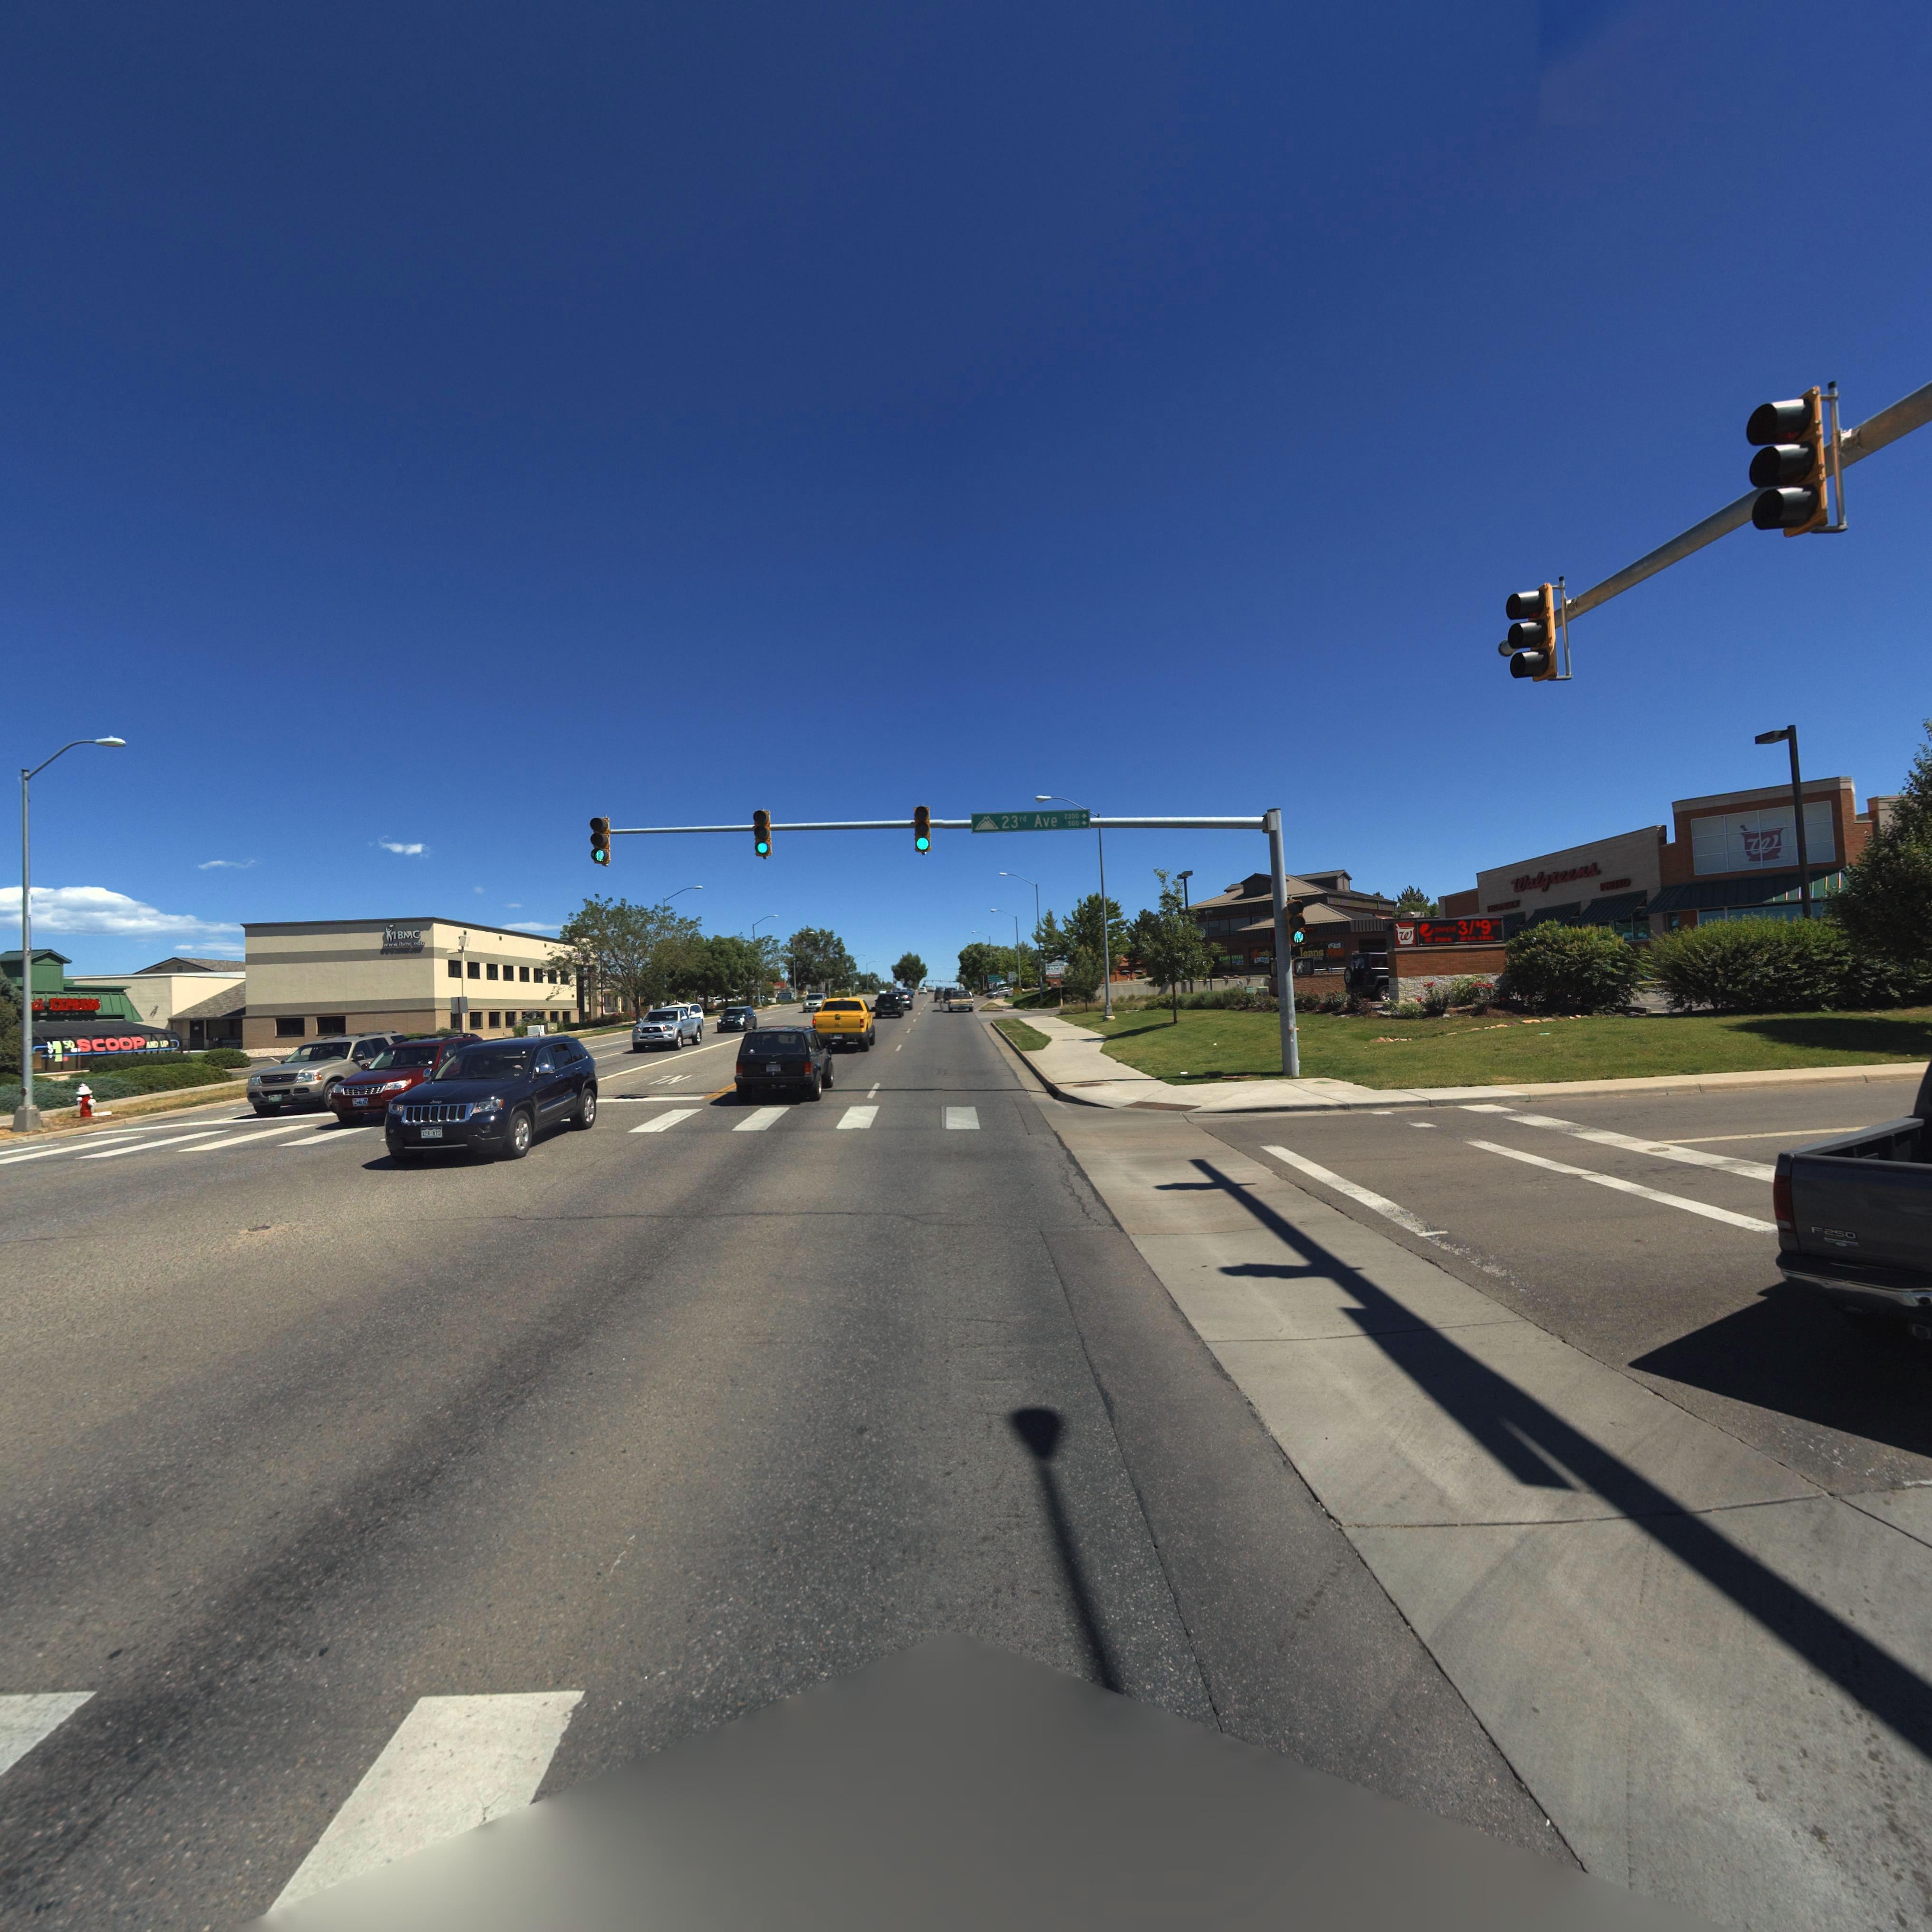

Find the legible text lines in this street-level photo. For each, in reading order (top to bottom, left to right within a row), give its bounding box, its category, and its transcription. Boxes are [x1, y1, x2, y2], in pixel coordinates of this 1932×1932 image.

[1001, 814, 1057, 829] StreetName: 23rd Ave
[1064, 812, 1079, 820] StreetNumberRange: 2300
[1067, 820, 1087, 826] StreetNumberRange: 500->
[1746, 833, 1779, 855] BusinessName: W
[1510, 861, 1602, 893] BusinessName: Walgreens
[393, 929, 420, 939] BusinessName: IBMC
[1398, 930, 1412, 941] BusinessName: W
[30, 997, 46, 1011] BusinessName: li
[48, 997, 100, 1011] BusinessName: EXPRESS